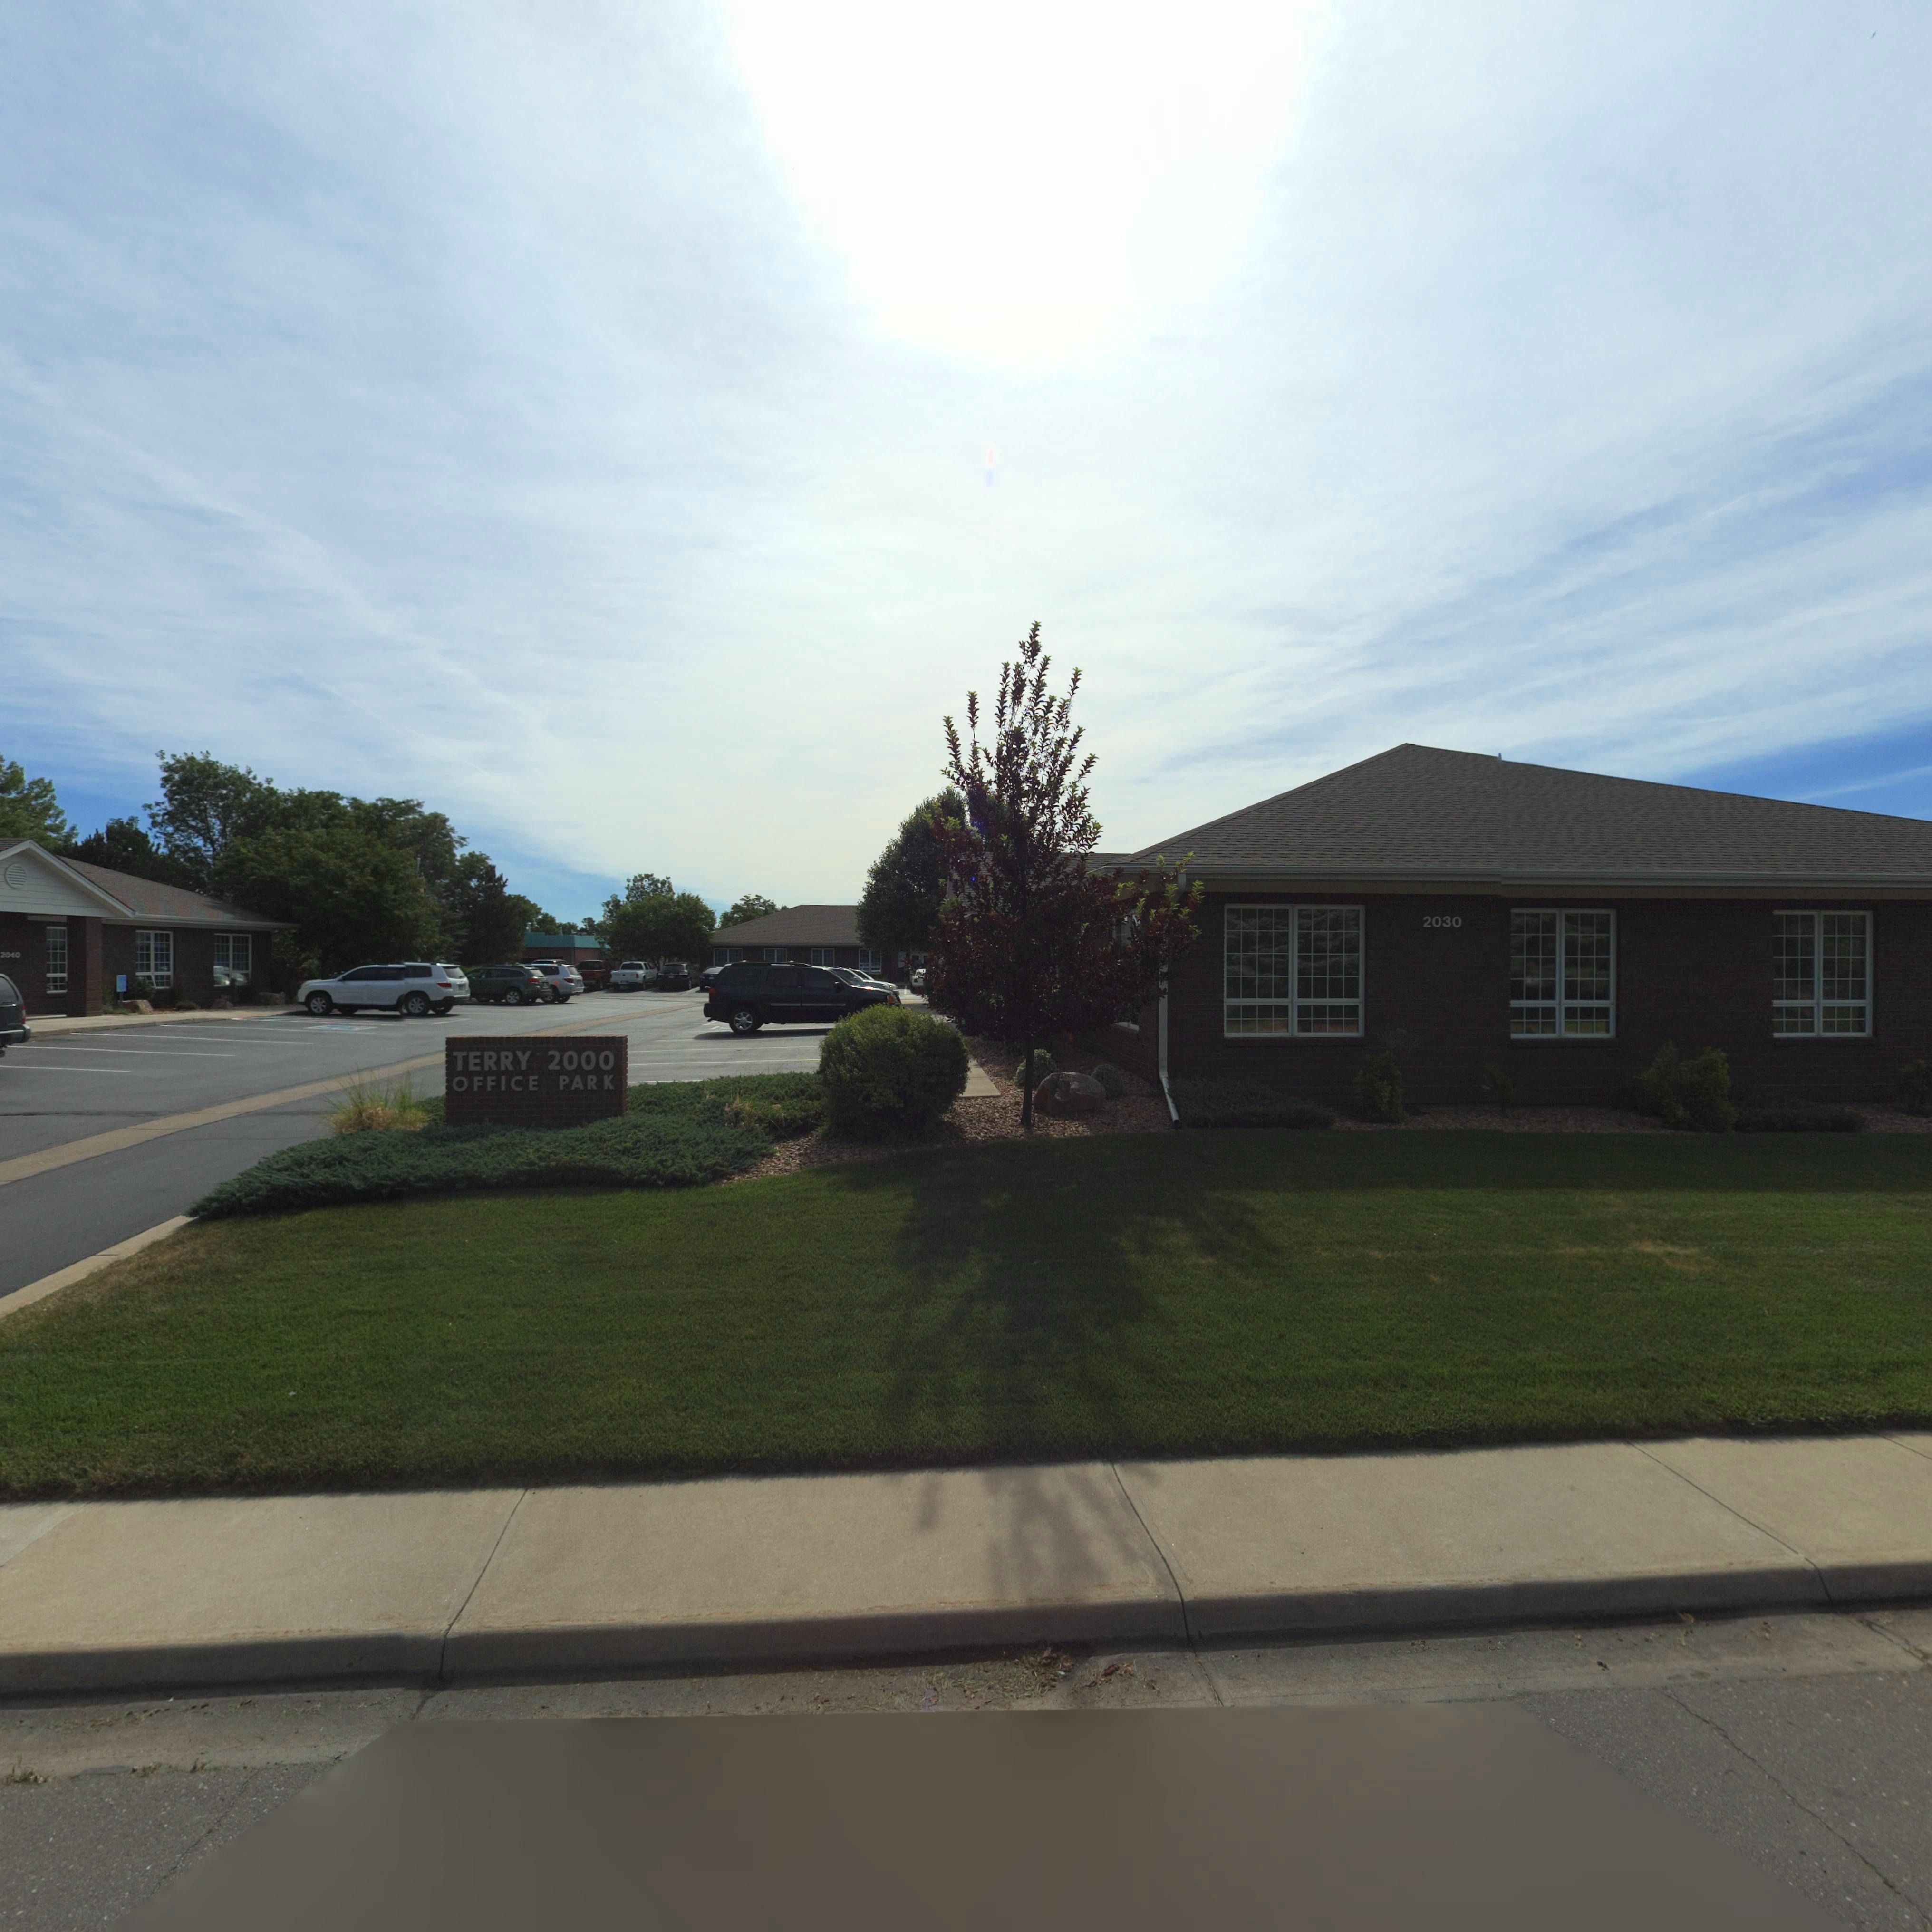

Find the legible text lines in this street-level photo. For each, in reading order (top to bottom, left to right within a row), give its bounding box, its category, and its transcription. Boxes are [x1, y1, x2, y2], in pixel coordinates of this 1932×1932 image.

[1422, 915, 1462, 928] StreetNumber: 2030
[0, 951, 21, 958] StreetNumber: 2040
[450, 1049, 533, 1072] StreetName: TERRY
[546, 1049, 616, 1071] StreetNumber: 2000